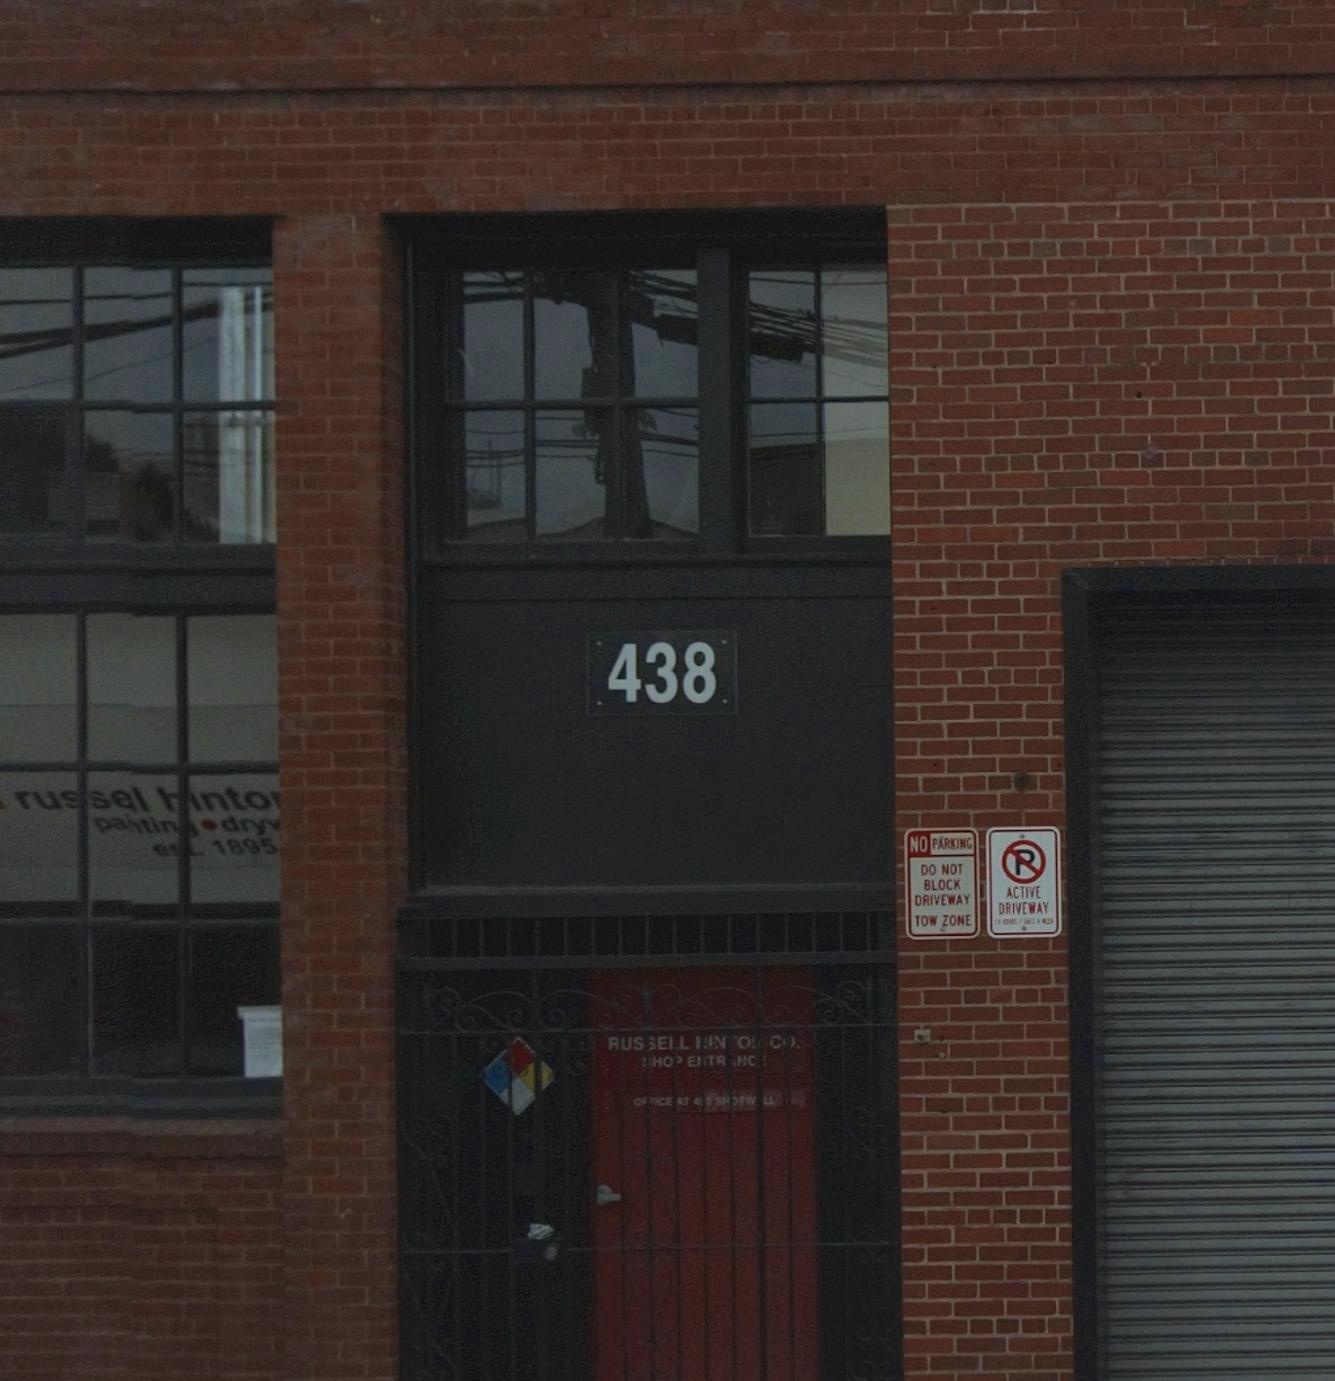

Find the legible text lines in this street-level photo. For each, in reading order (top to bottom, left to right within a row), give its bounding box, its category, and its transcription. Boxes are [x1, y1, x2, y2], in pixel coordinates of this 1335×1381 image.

[606, 640, 719, 704] StreetNumber: 438
[12, 784, 274, 812] BusinessName: russel **nto
[90, 812, 271, 837] None: pa*tin* * dry
[152, 836, 282, 858] None: e**. 1895
[908, 834, 973, 854] None: NO PARKING
[919, 863, 964, 877] None: DO NOT
[922, 878, 962, 892] None: BLOCK
[1004, 884, 1043, 900] None: ACTIVE
[913, 893, 971, 908] None: DRIVEWAY
[997, 901, 1050, 917] None: DRIVEWAY
[913, 913, 972, 928] None: TOW ZONE
[606, 1034, 801, 1052] BusinessName: RUS*E*L *IN*O* C*.
[641, 1054, 767, 1069] None: *HO* E*TR*NC*
[631, 1095, 691, 1108] None: OF*ICE AT
[691, 1096, 713, 1107] StreetNumber: 4**
[714, 1095, 777, 1107] StreetName: SH*TW*LL